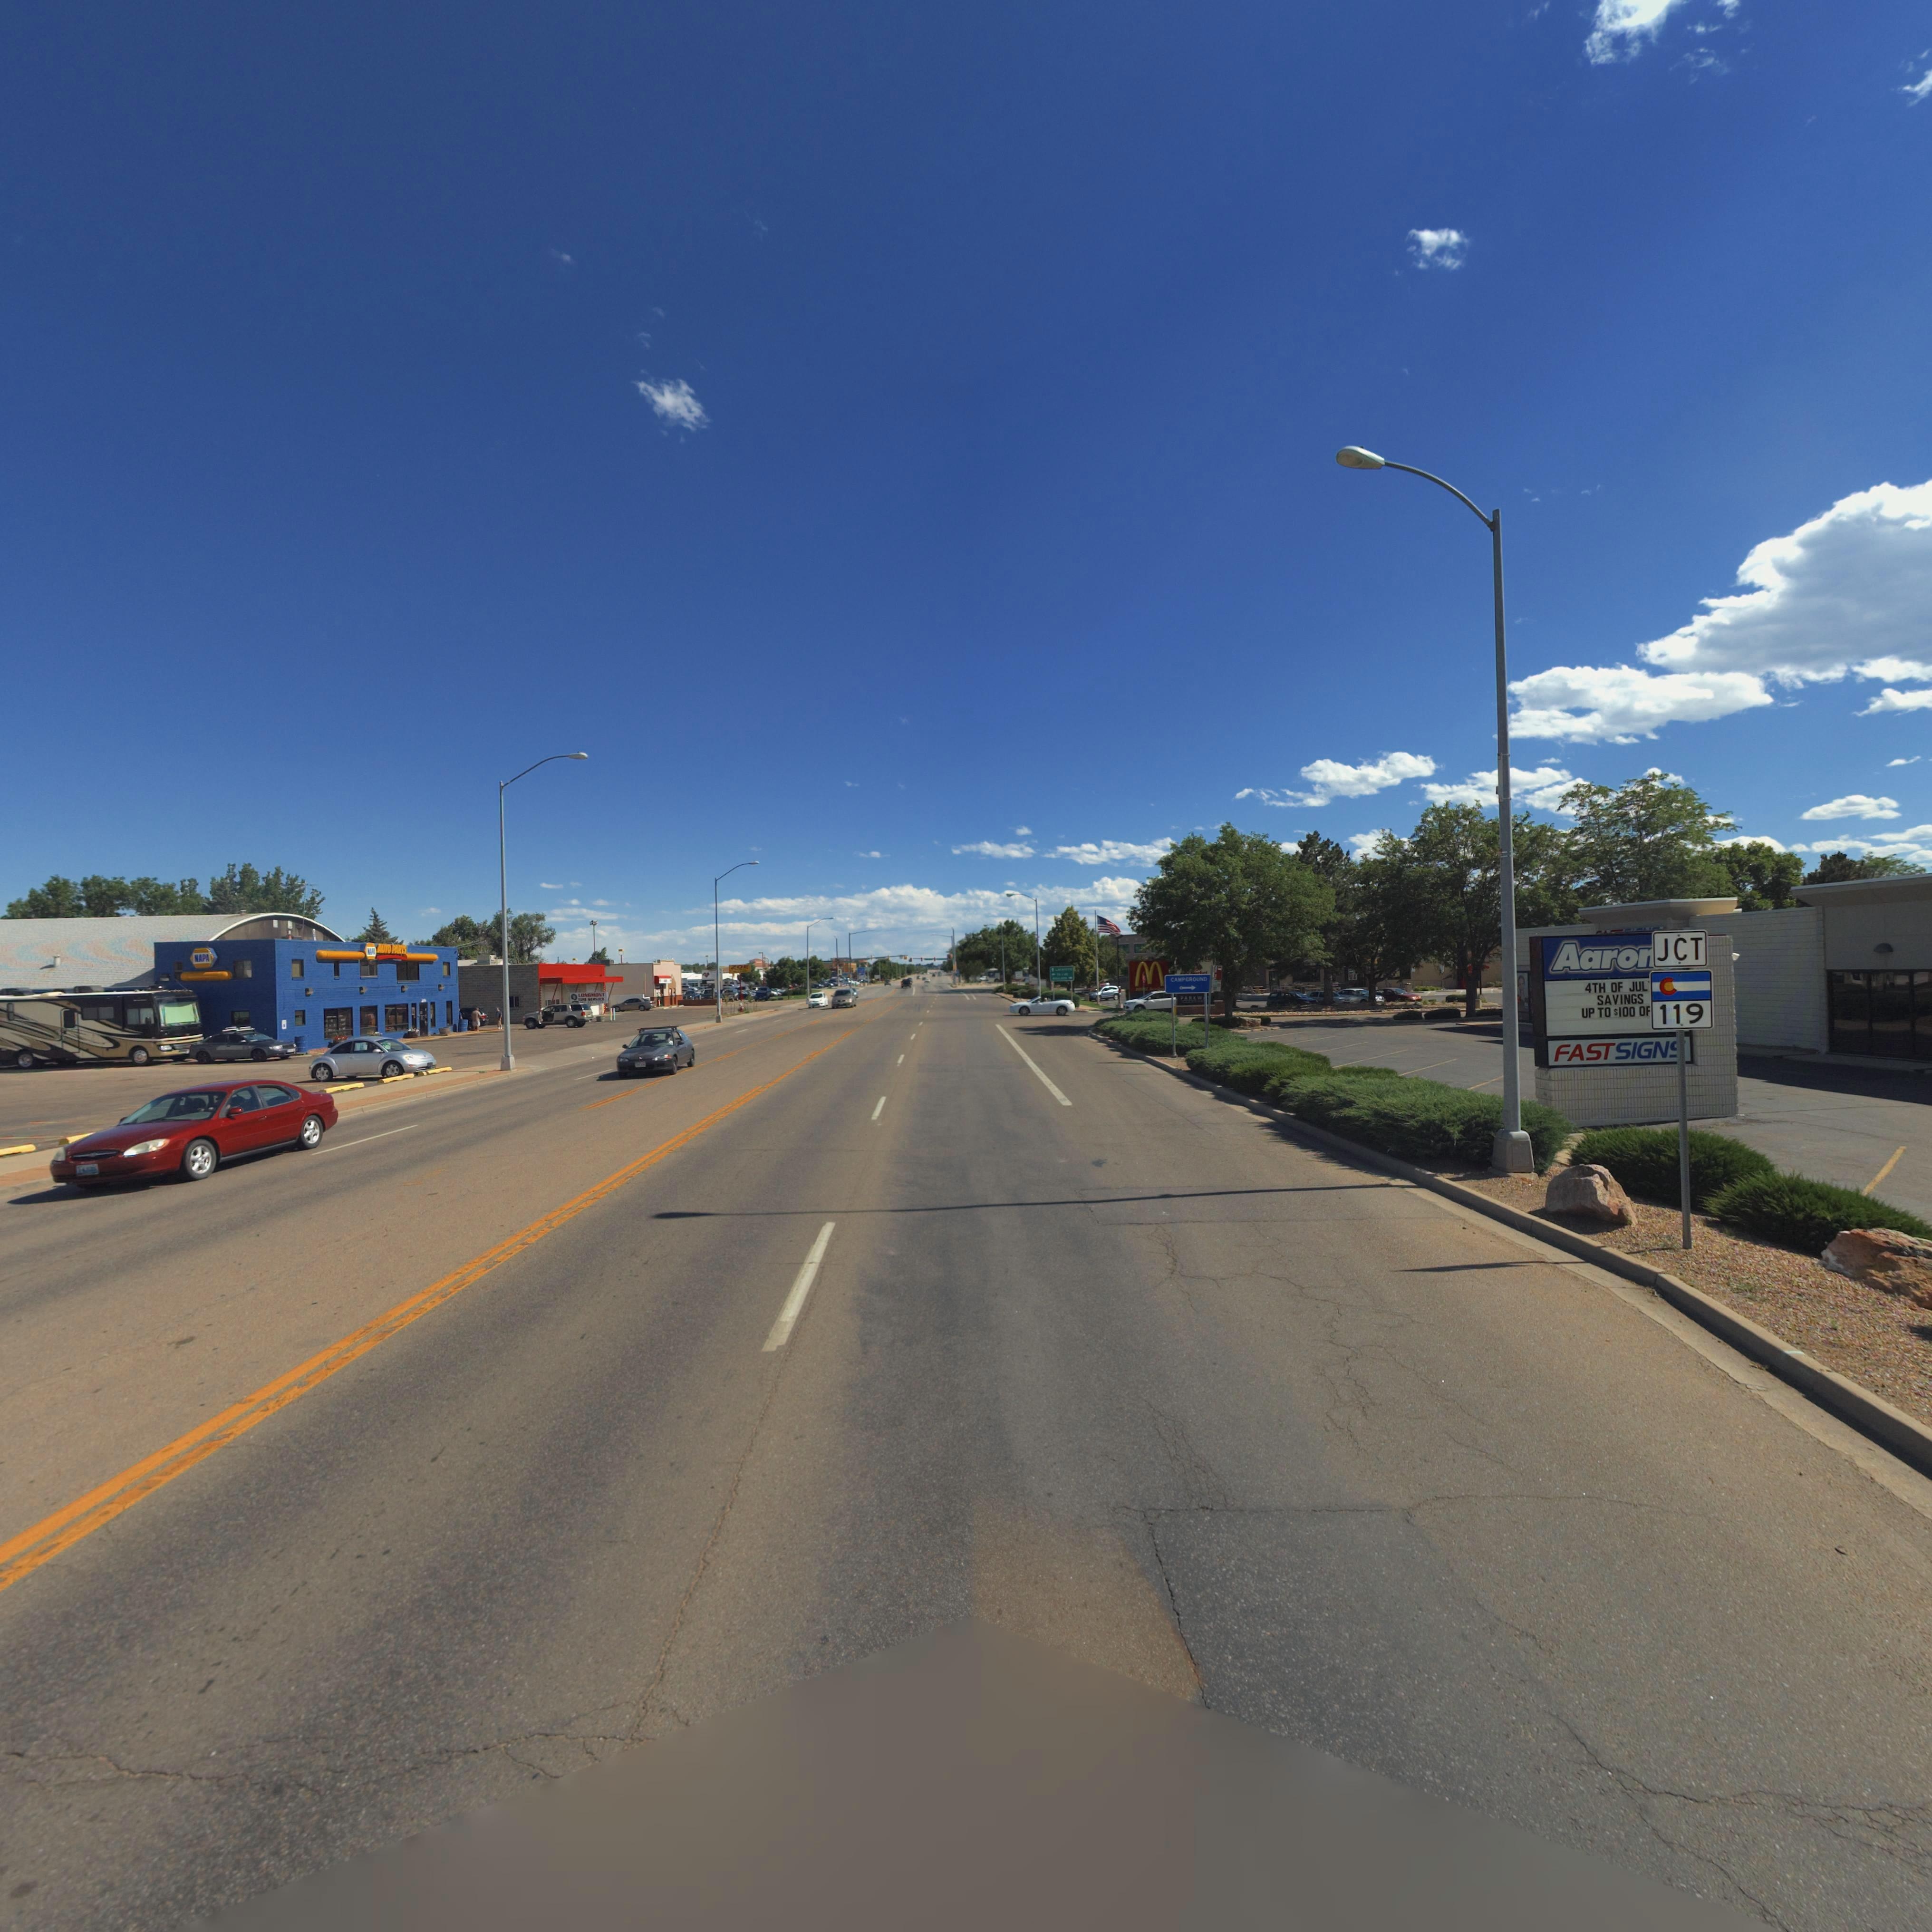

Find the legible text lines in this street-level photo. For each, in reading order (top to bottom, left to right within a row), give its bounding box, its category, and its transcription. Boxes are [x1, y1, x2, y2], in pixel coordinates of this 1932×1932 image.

[367, 947, 375, 955] BusinessName: NA**
[376, 942, 407, 955] BusinessName: AUTO PARTS
[194, 953, 210, 962] BusinessName: NAPA
[1548, 941, 1640, 972] BusinessName: Aaron
[730, 964, 749, 969] BusinessName: ZOE
[578, 997, 604, 1001] BusinessName: T*R* ***V*C*
[578, 992, 605, 997] BusinessName: LONGMONT
[1553, 1039, 1687, 1062] BusinessName: FASTSIGN*